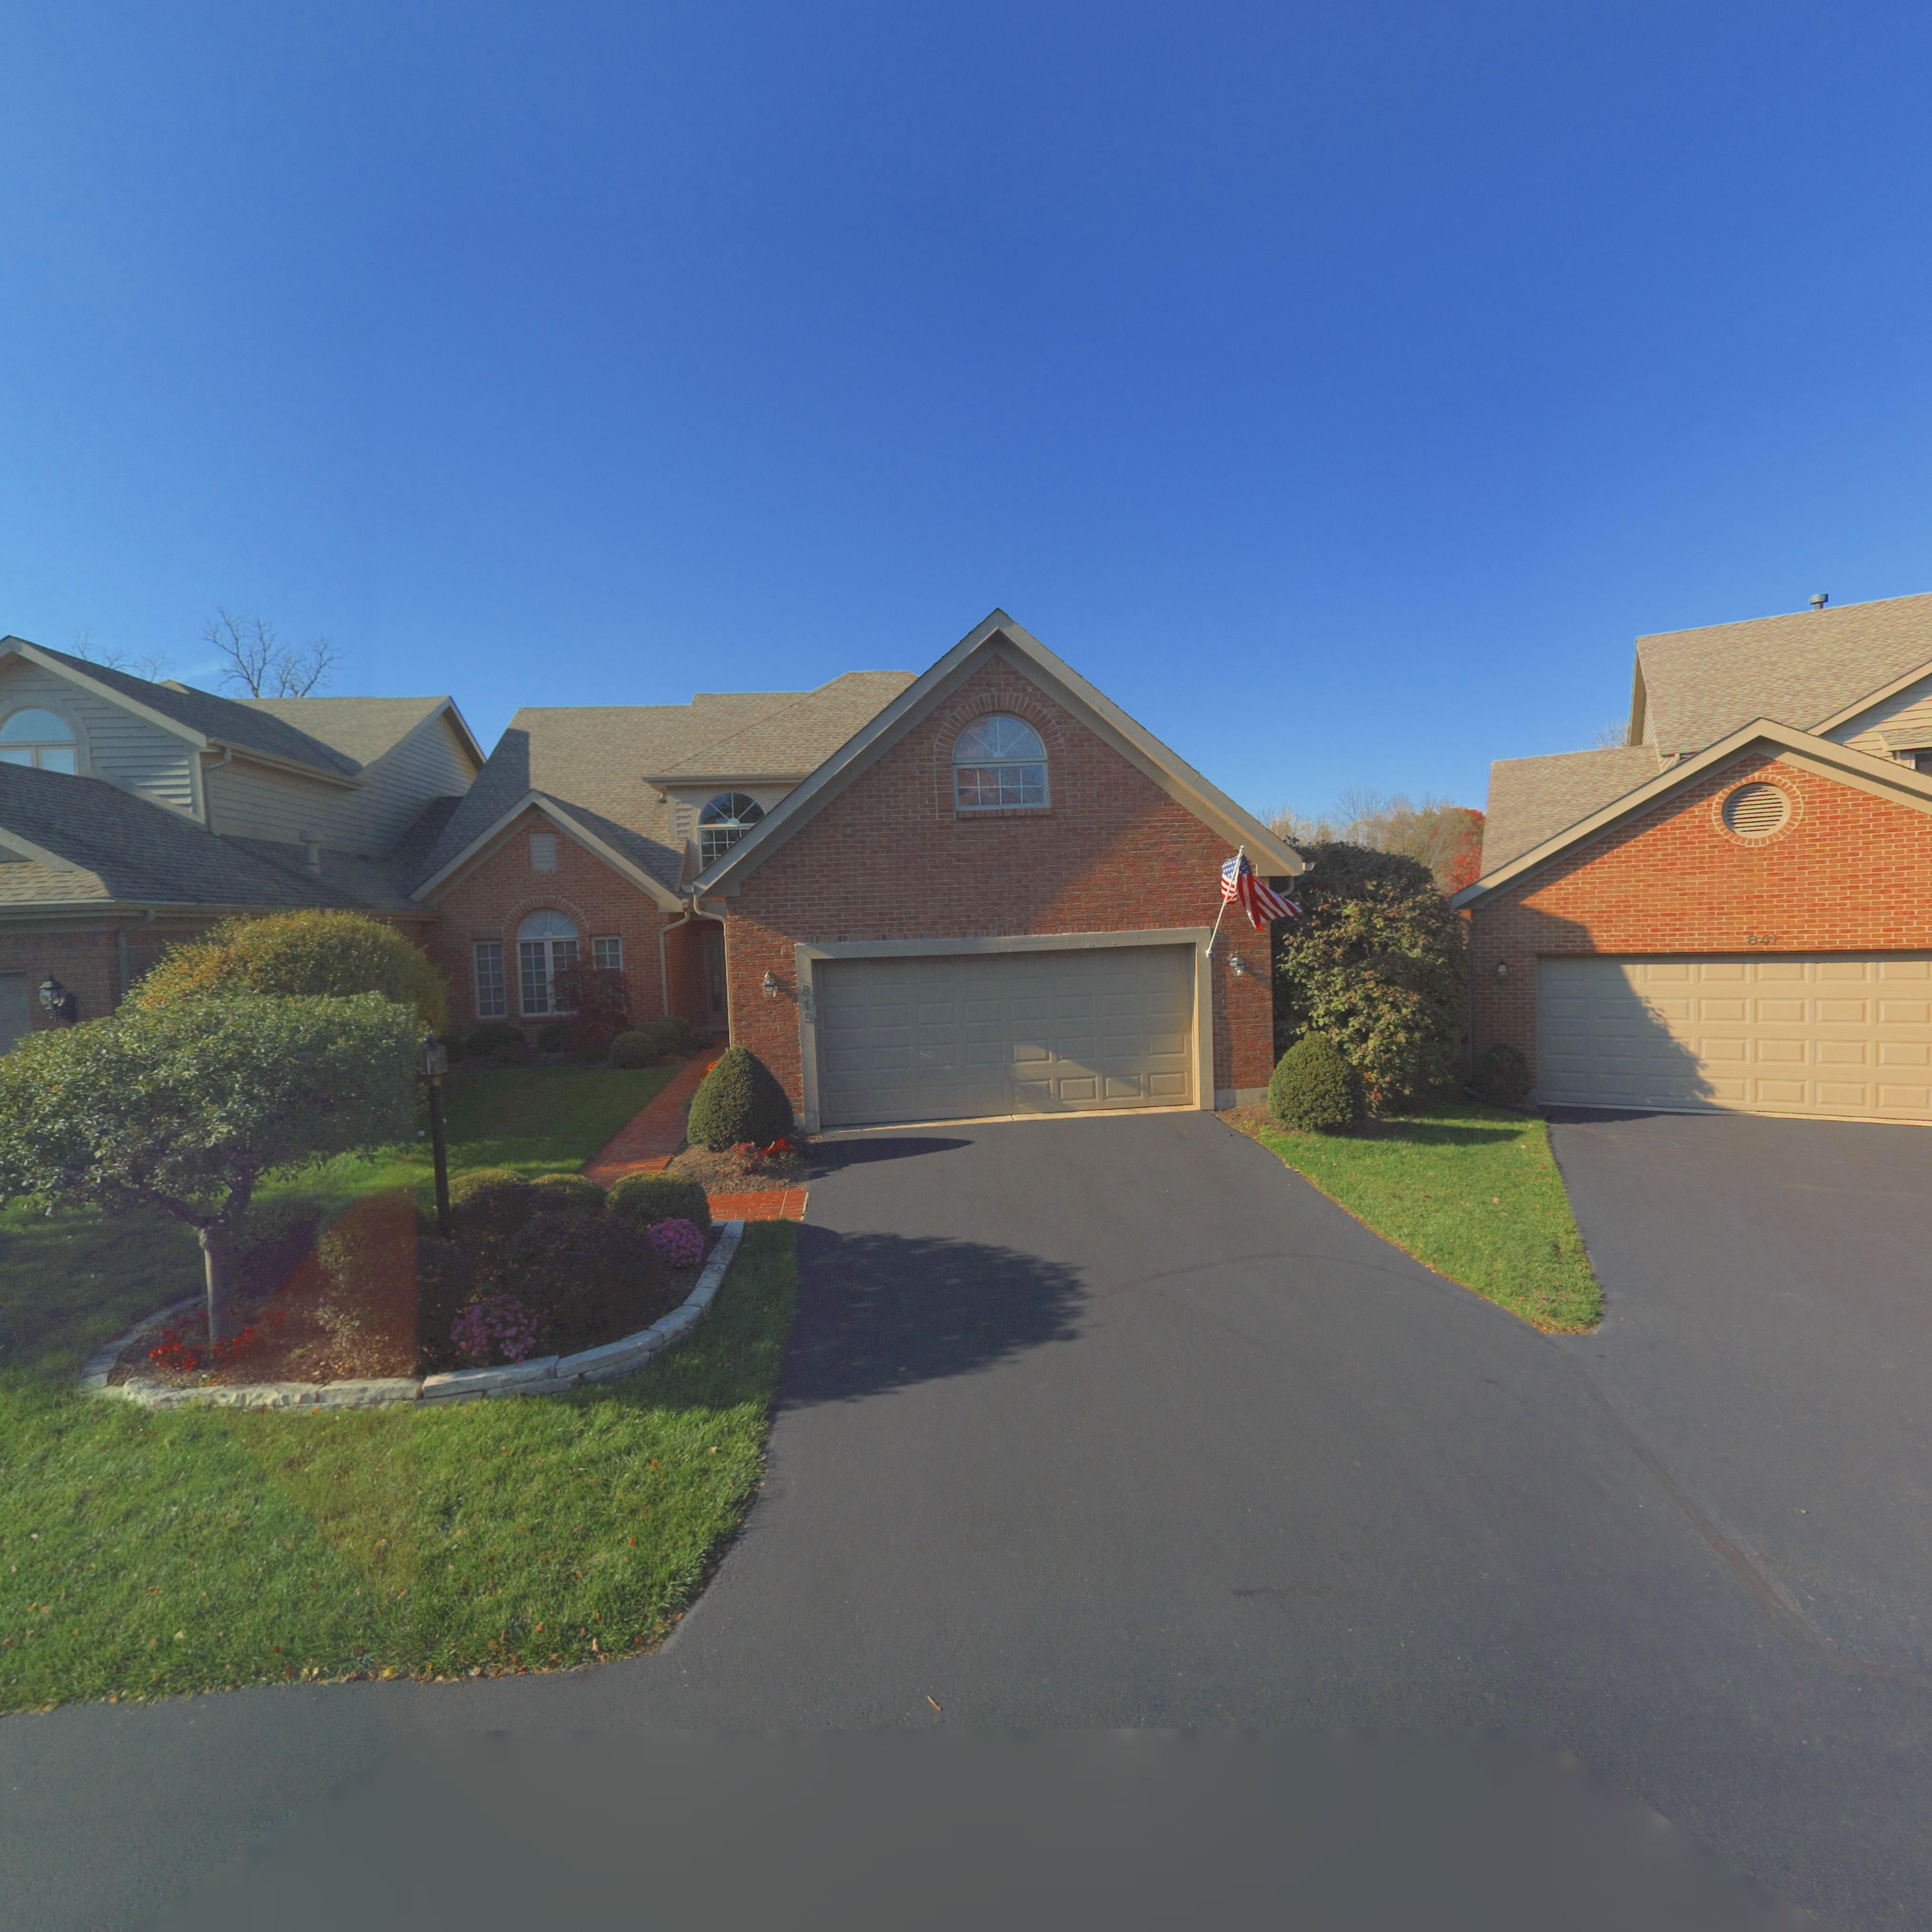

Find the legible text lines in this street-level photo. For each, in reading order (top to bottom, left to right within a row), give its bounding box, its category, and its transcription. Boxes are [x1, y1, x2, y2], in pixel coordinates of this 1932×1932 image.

[1746, 932, 1778, 947] StreetNumber: 841
[801, 984, 813, 1025] StreetNumber: 849